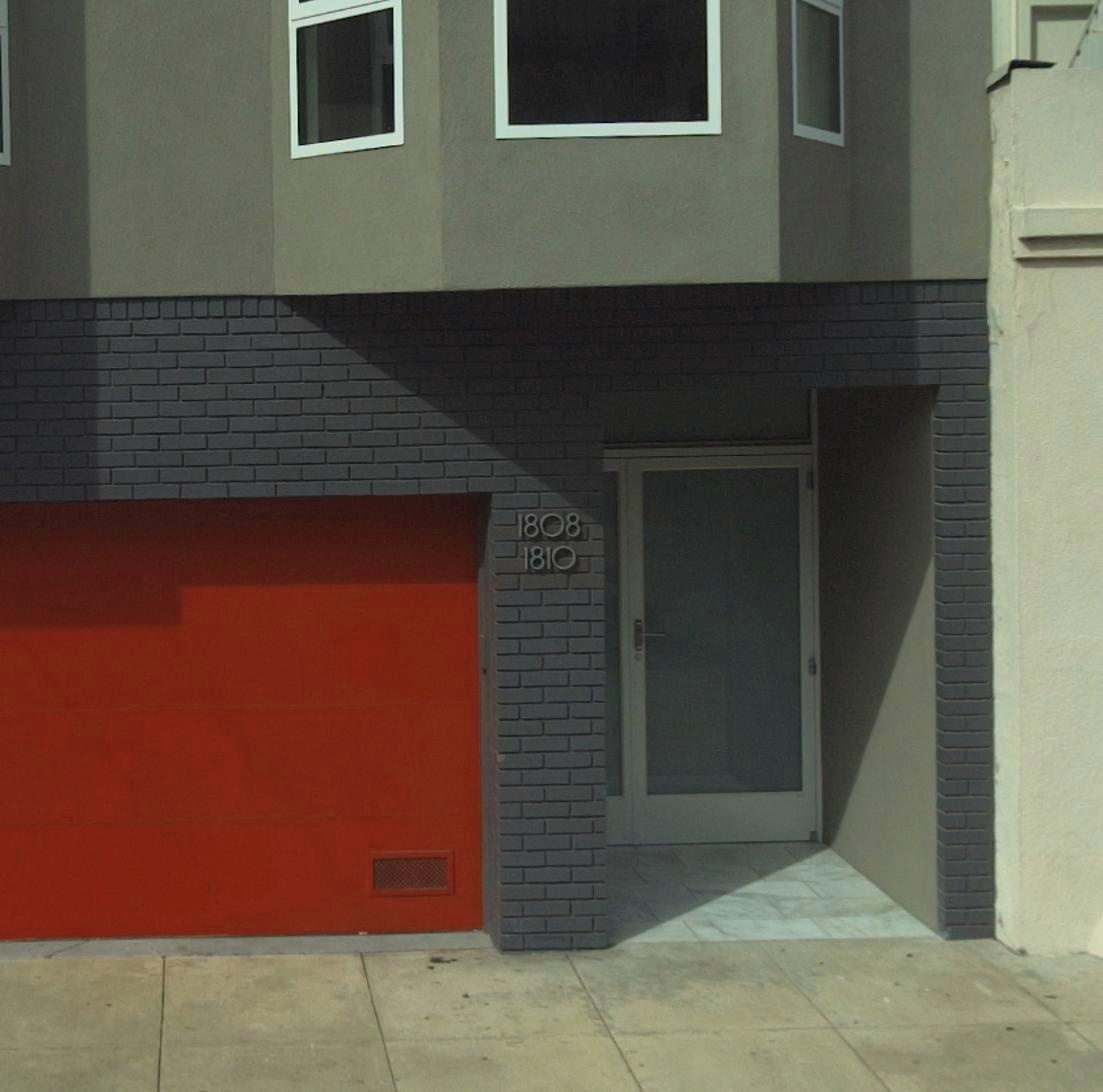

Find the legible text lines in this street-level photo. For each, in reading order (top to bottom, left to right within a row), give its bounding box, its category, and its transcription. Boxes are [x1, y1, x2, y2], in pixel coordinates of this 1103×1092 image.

[515, 510, 583, 541] StreetNumber: 1808
[520, 543, 579, 573] StreetNumber: 1810